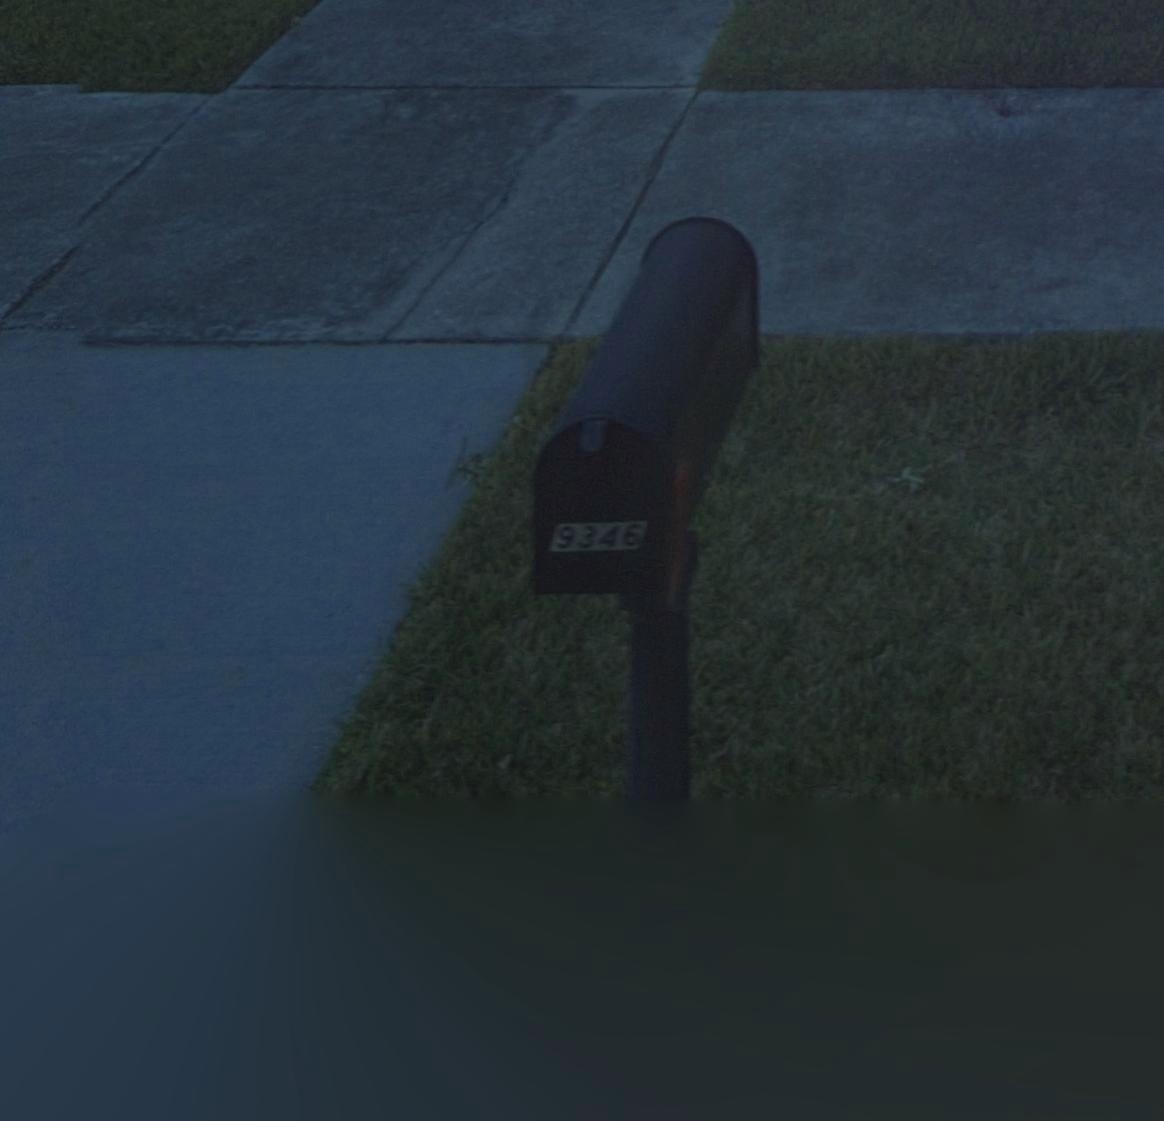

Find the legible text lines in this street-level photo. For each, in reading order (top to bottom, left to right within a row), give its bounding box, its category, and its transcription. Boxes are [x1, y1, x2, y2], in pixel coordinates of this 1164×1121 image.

[550, 523, 645, 550] StreetNumber: 9346